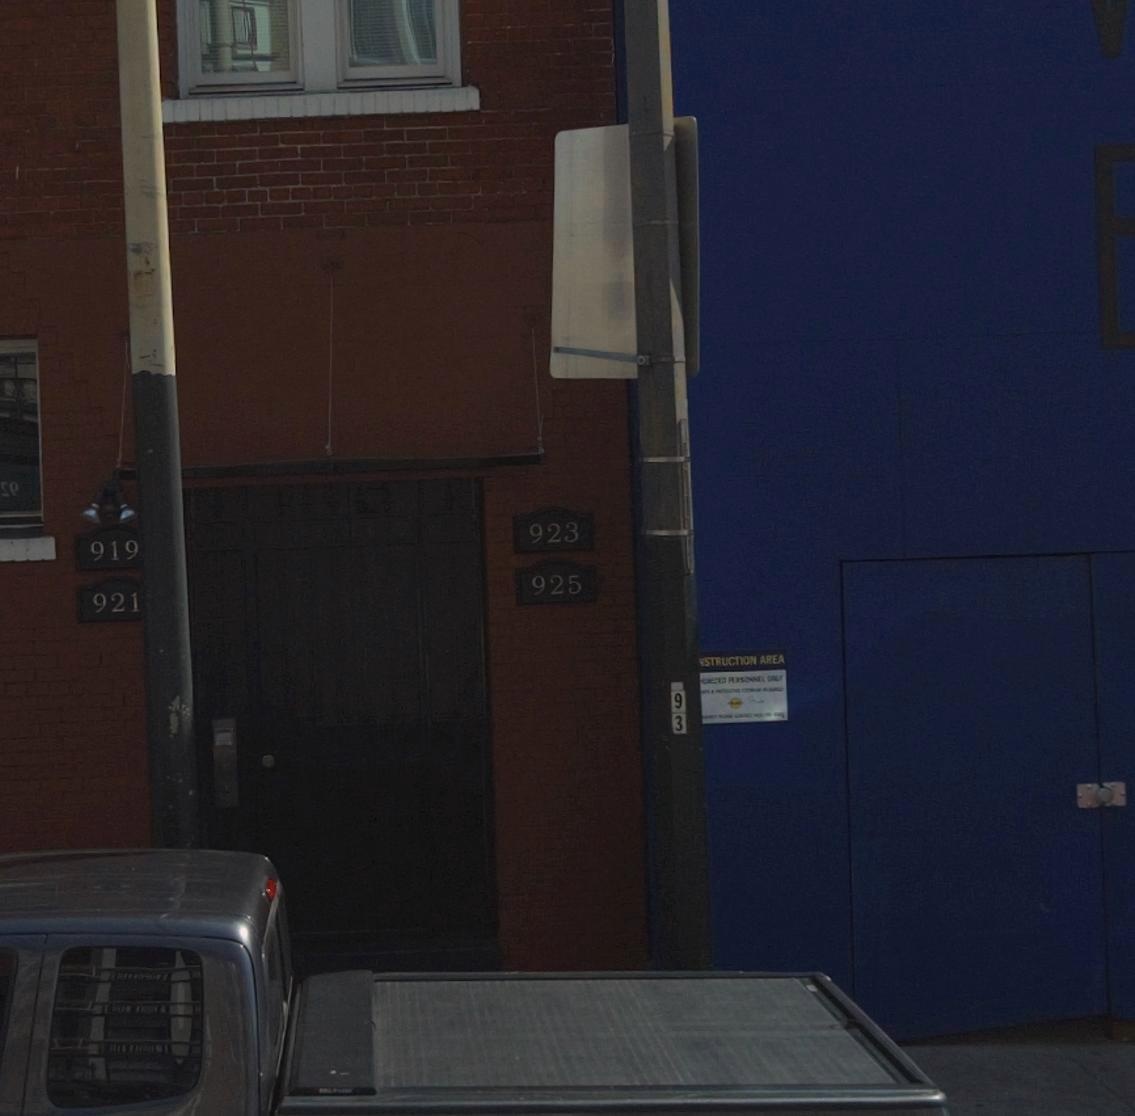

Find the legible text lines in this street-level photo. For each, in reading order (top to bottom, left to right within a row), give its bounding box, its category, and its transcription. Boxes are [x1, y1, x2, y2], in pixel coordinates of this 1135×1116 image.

[530, 521, 581, 544] StreetNumber: 923
[89, 539, 140, 562] StreetNumber: 919
[530, 573, 583, 596] StreetNumber: 925
[91, 590, 142, 614] StreetNumber: 921
[704, 653, 786, 668] None: STRUCTION AREA
[672, 692, 684, 731] None: 93